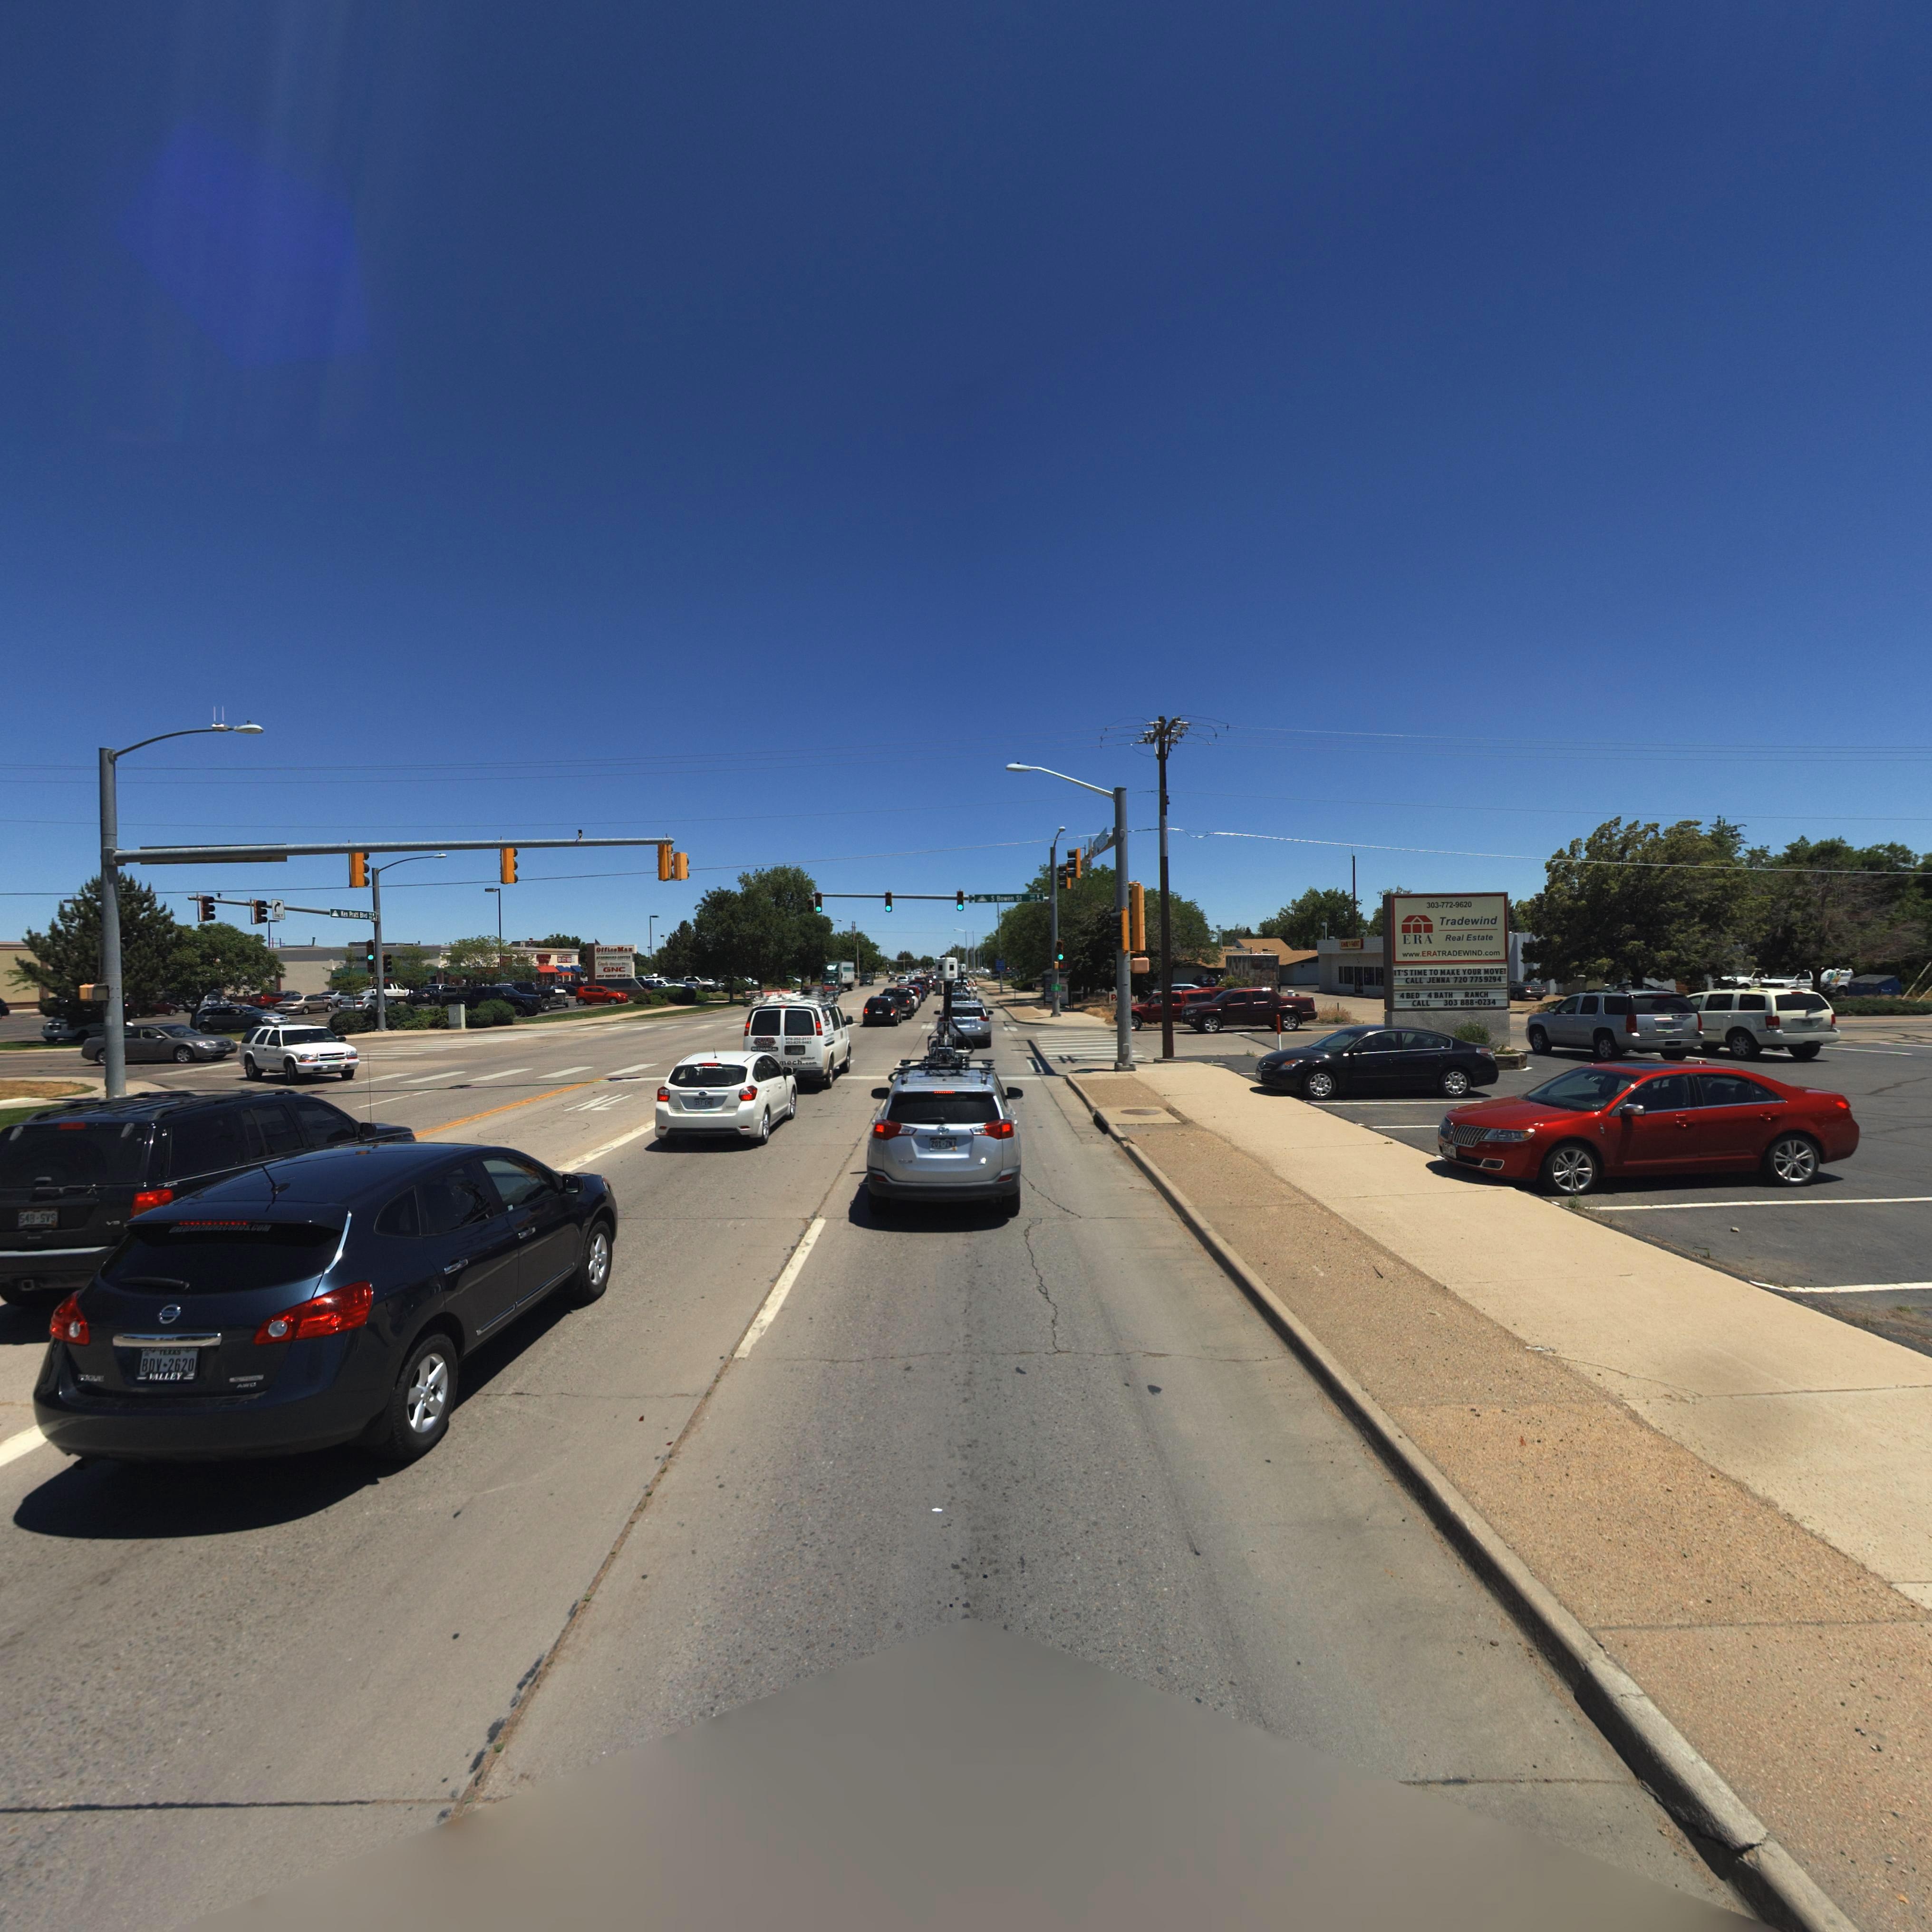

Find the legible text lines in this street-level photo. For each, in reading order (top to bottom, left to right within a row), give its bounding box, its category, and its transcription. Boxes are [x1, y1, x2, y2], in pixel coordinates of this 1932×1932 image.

[990, 895, 1022, 901] BusinessName: S Bowen St
[340, 910, 367, 918] StreetName: Ken Pratt Blvd
[1439, 916, 1497, 926] BusinessName: Tradewind
[1444, 933, 1493, 941] BusinessName: Real Estate
[1340, 940, 1360, 947] BusinessName: KWAL*PAINT
[596, 946, 632, 952] BusinessName: OfficeMax
[596, 955, 631, 958] BusinessName: ****ck** c******
[597, 960, 630, 968] BusinessName: C*********
[602, 966, 626, 972] BusinessName: GNC
[596, 974, 631, 977] BusinessName: **** H***ST BR**D **